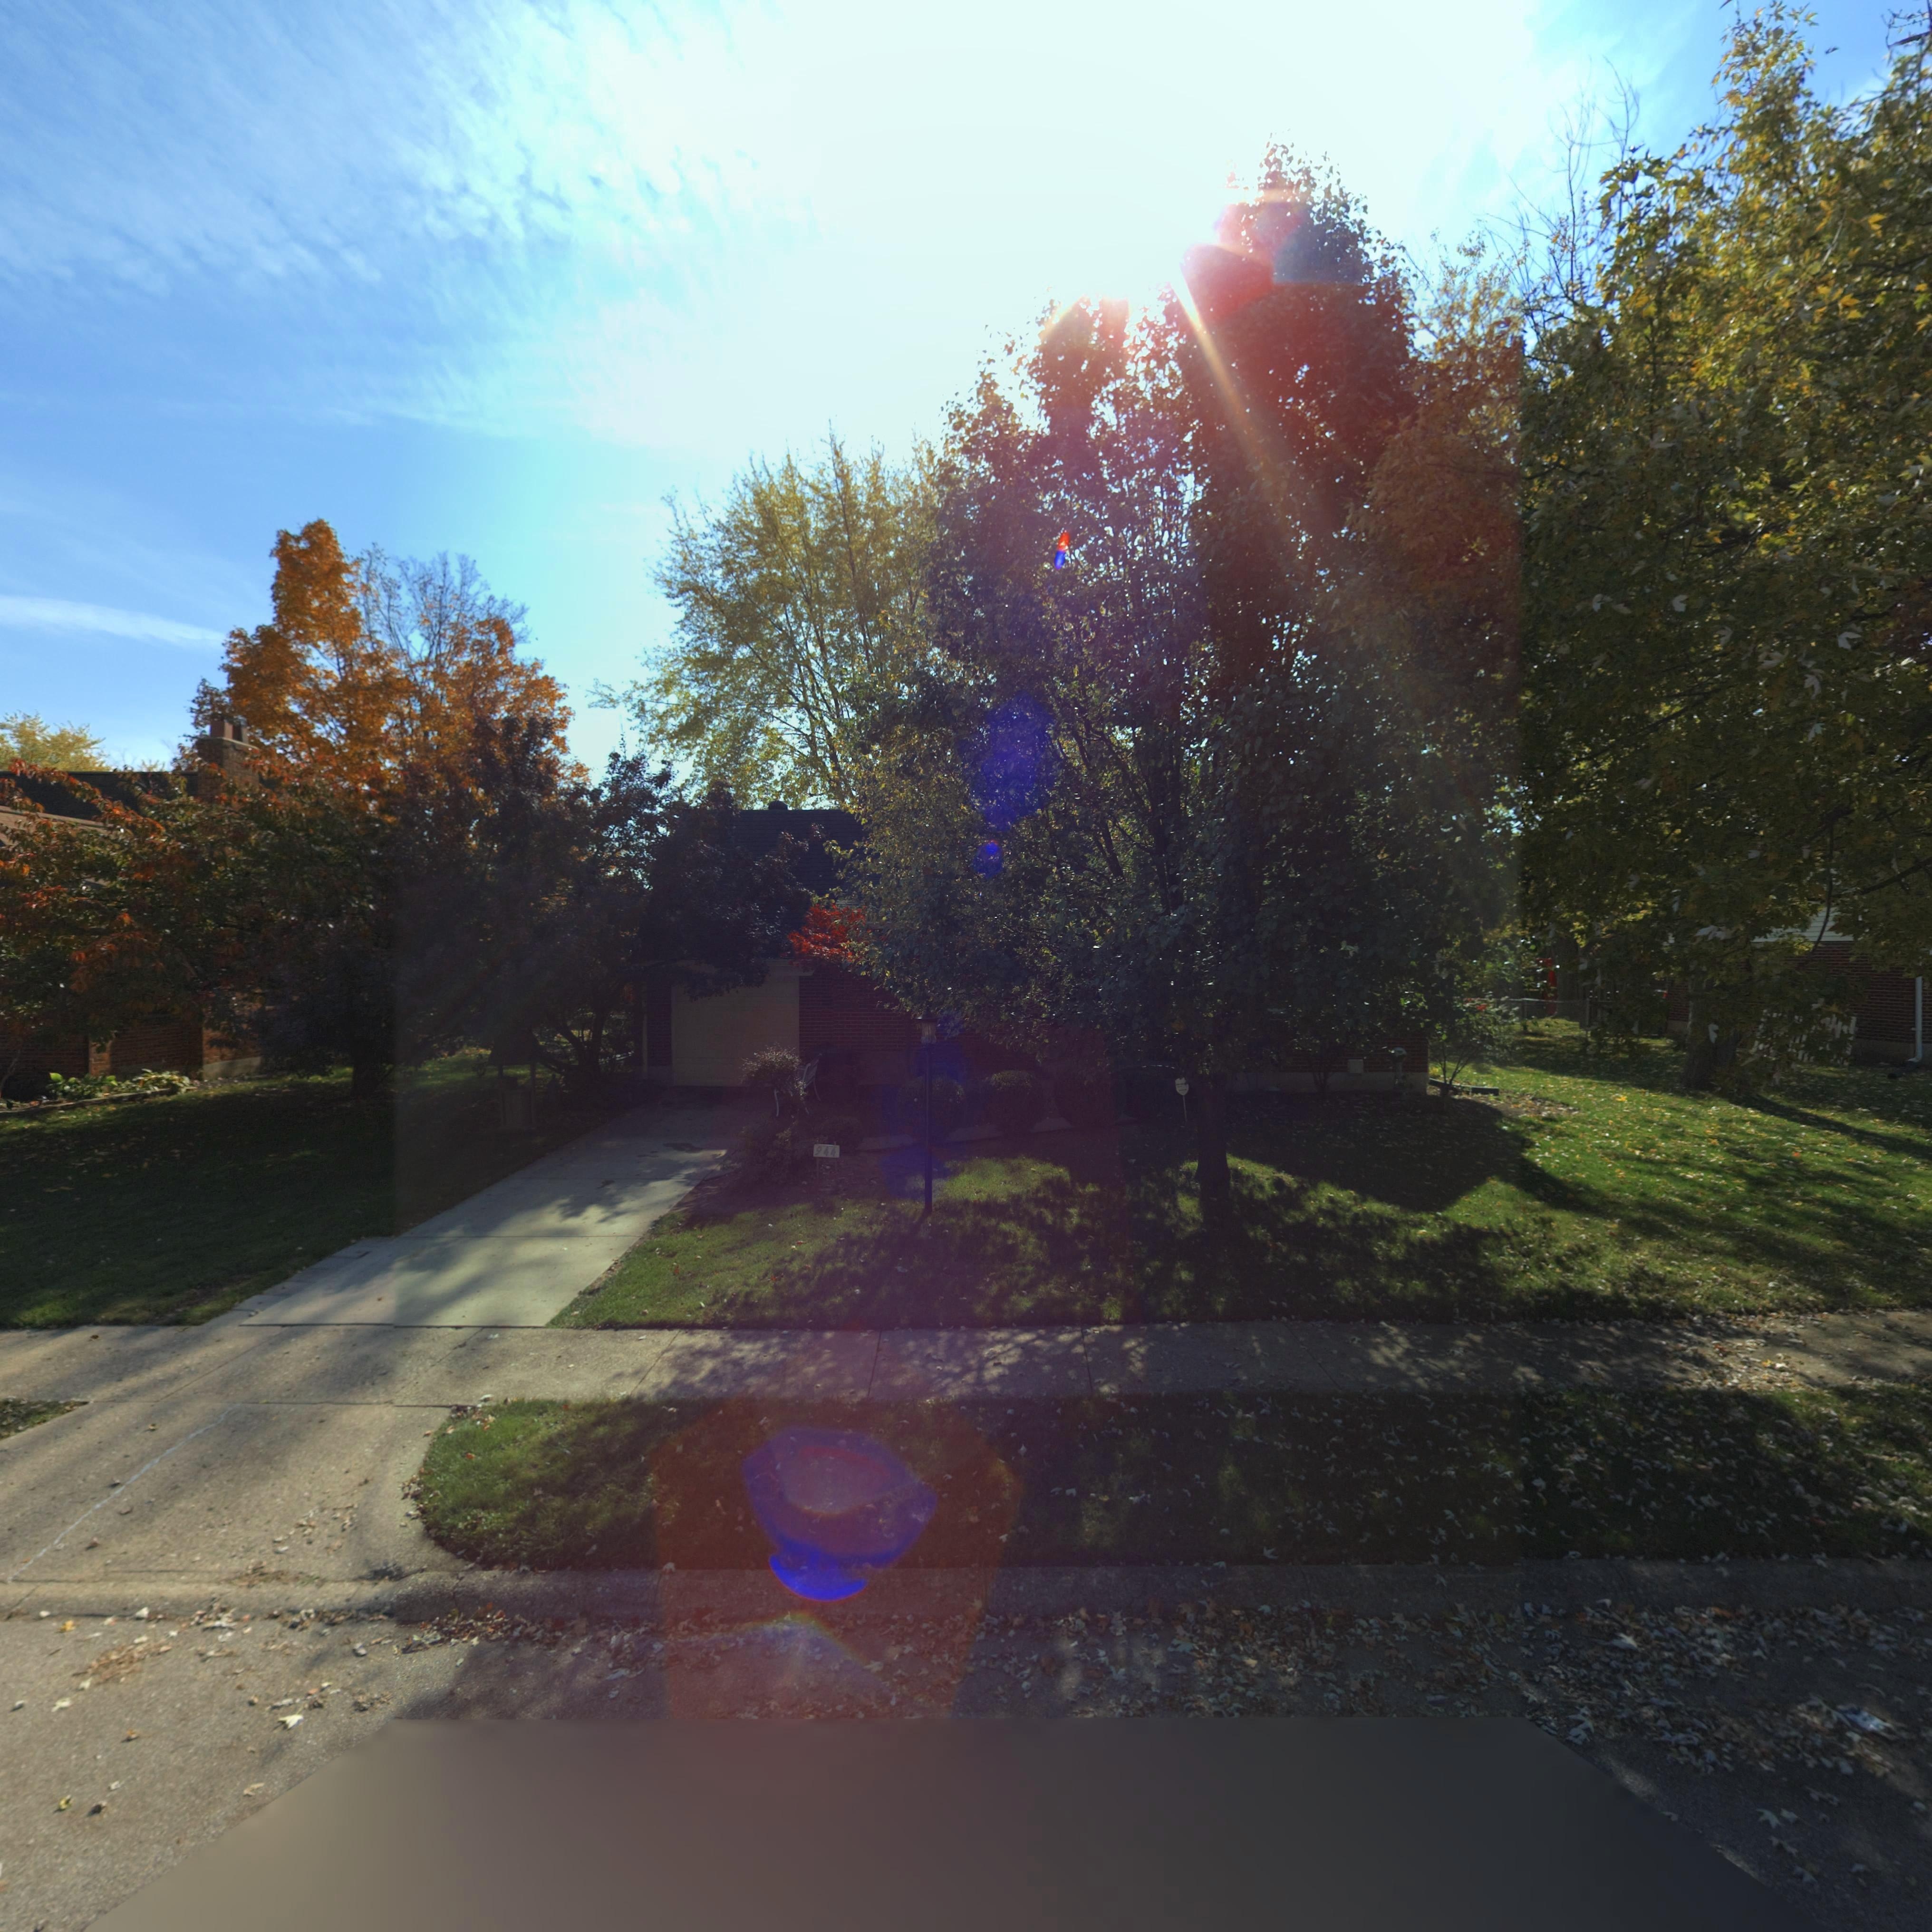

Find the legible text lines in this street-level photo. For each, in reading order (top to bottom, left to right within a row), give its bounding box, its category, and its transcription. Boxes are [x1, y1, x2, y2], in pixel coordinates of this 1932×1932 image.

[813, 1144, 838, 1158] StreetNumber: 944